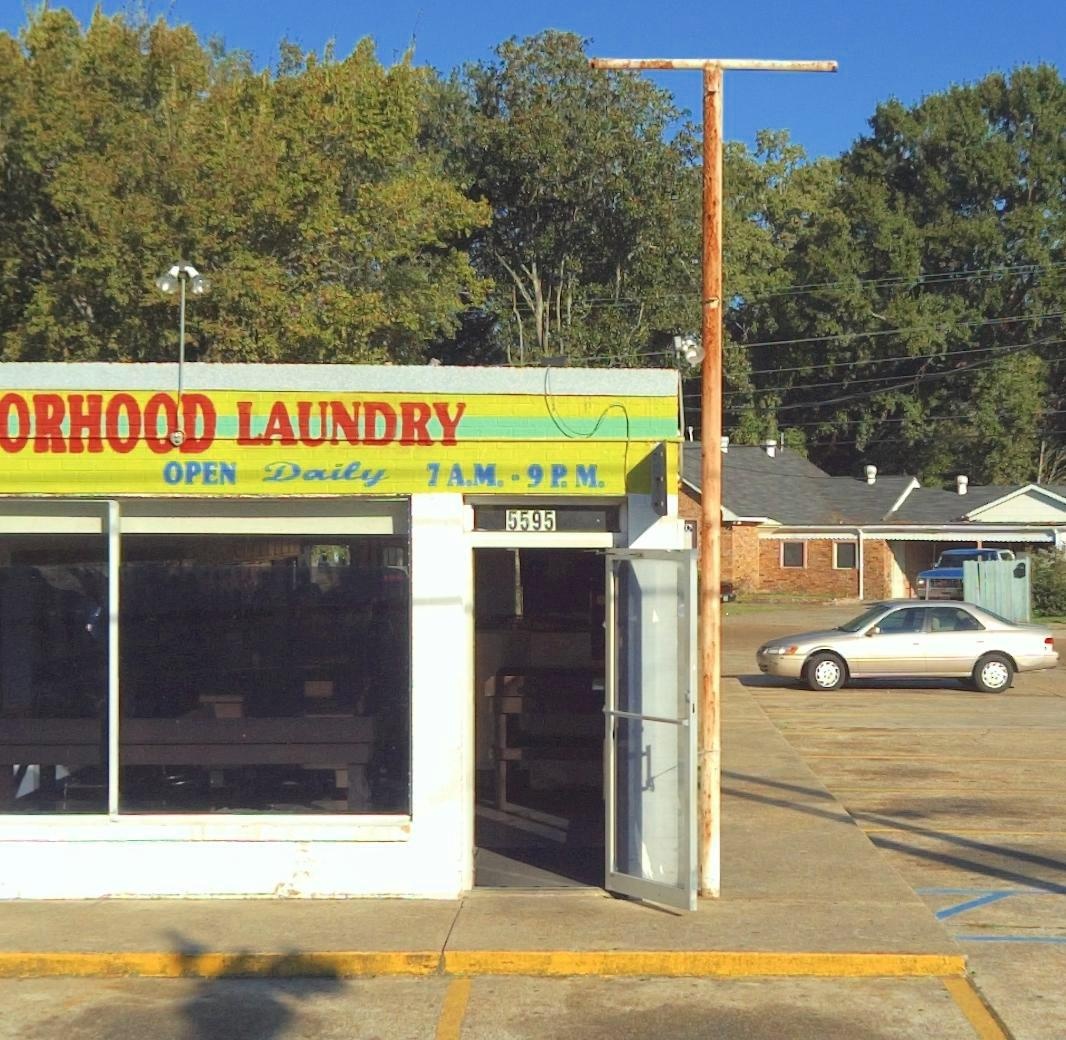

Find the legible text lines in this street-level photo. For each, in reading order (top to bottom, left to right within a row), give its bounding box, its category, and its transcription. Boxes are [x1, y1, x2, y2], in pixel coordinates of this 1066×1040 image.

[30, 389, 473, 458] BusinessName: RHOOD LAUNDRY
[159, 456, 394, 492] None: OPEN Daily 
[422, 460, 608, 491] None: 7 A.M. * 9 P.M.
[506, 508, 555, 533] StreetNumber: 5595